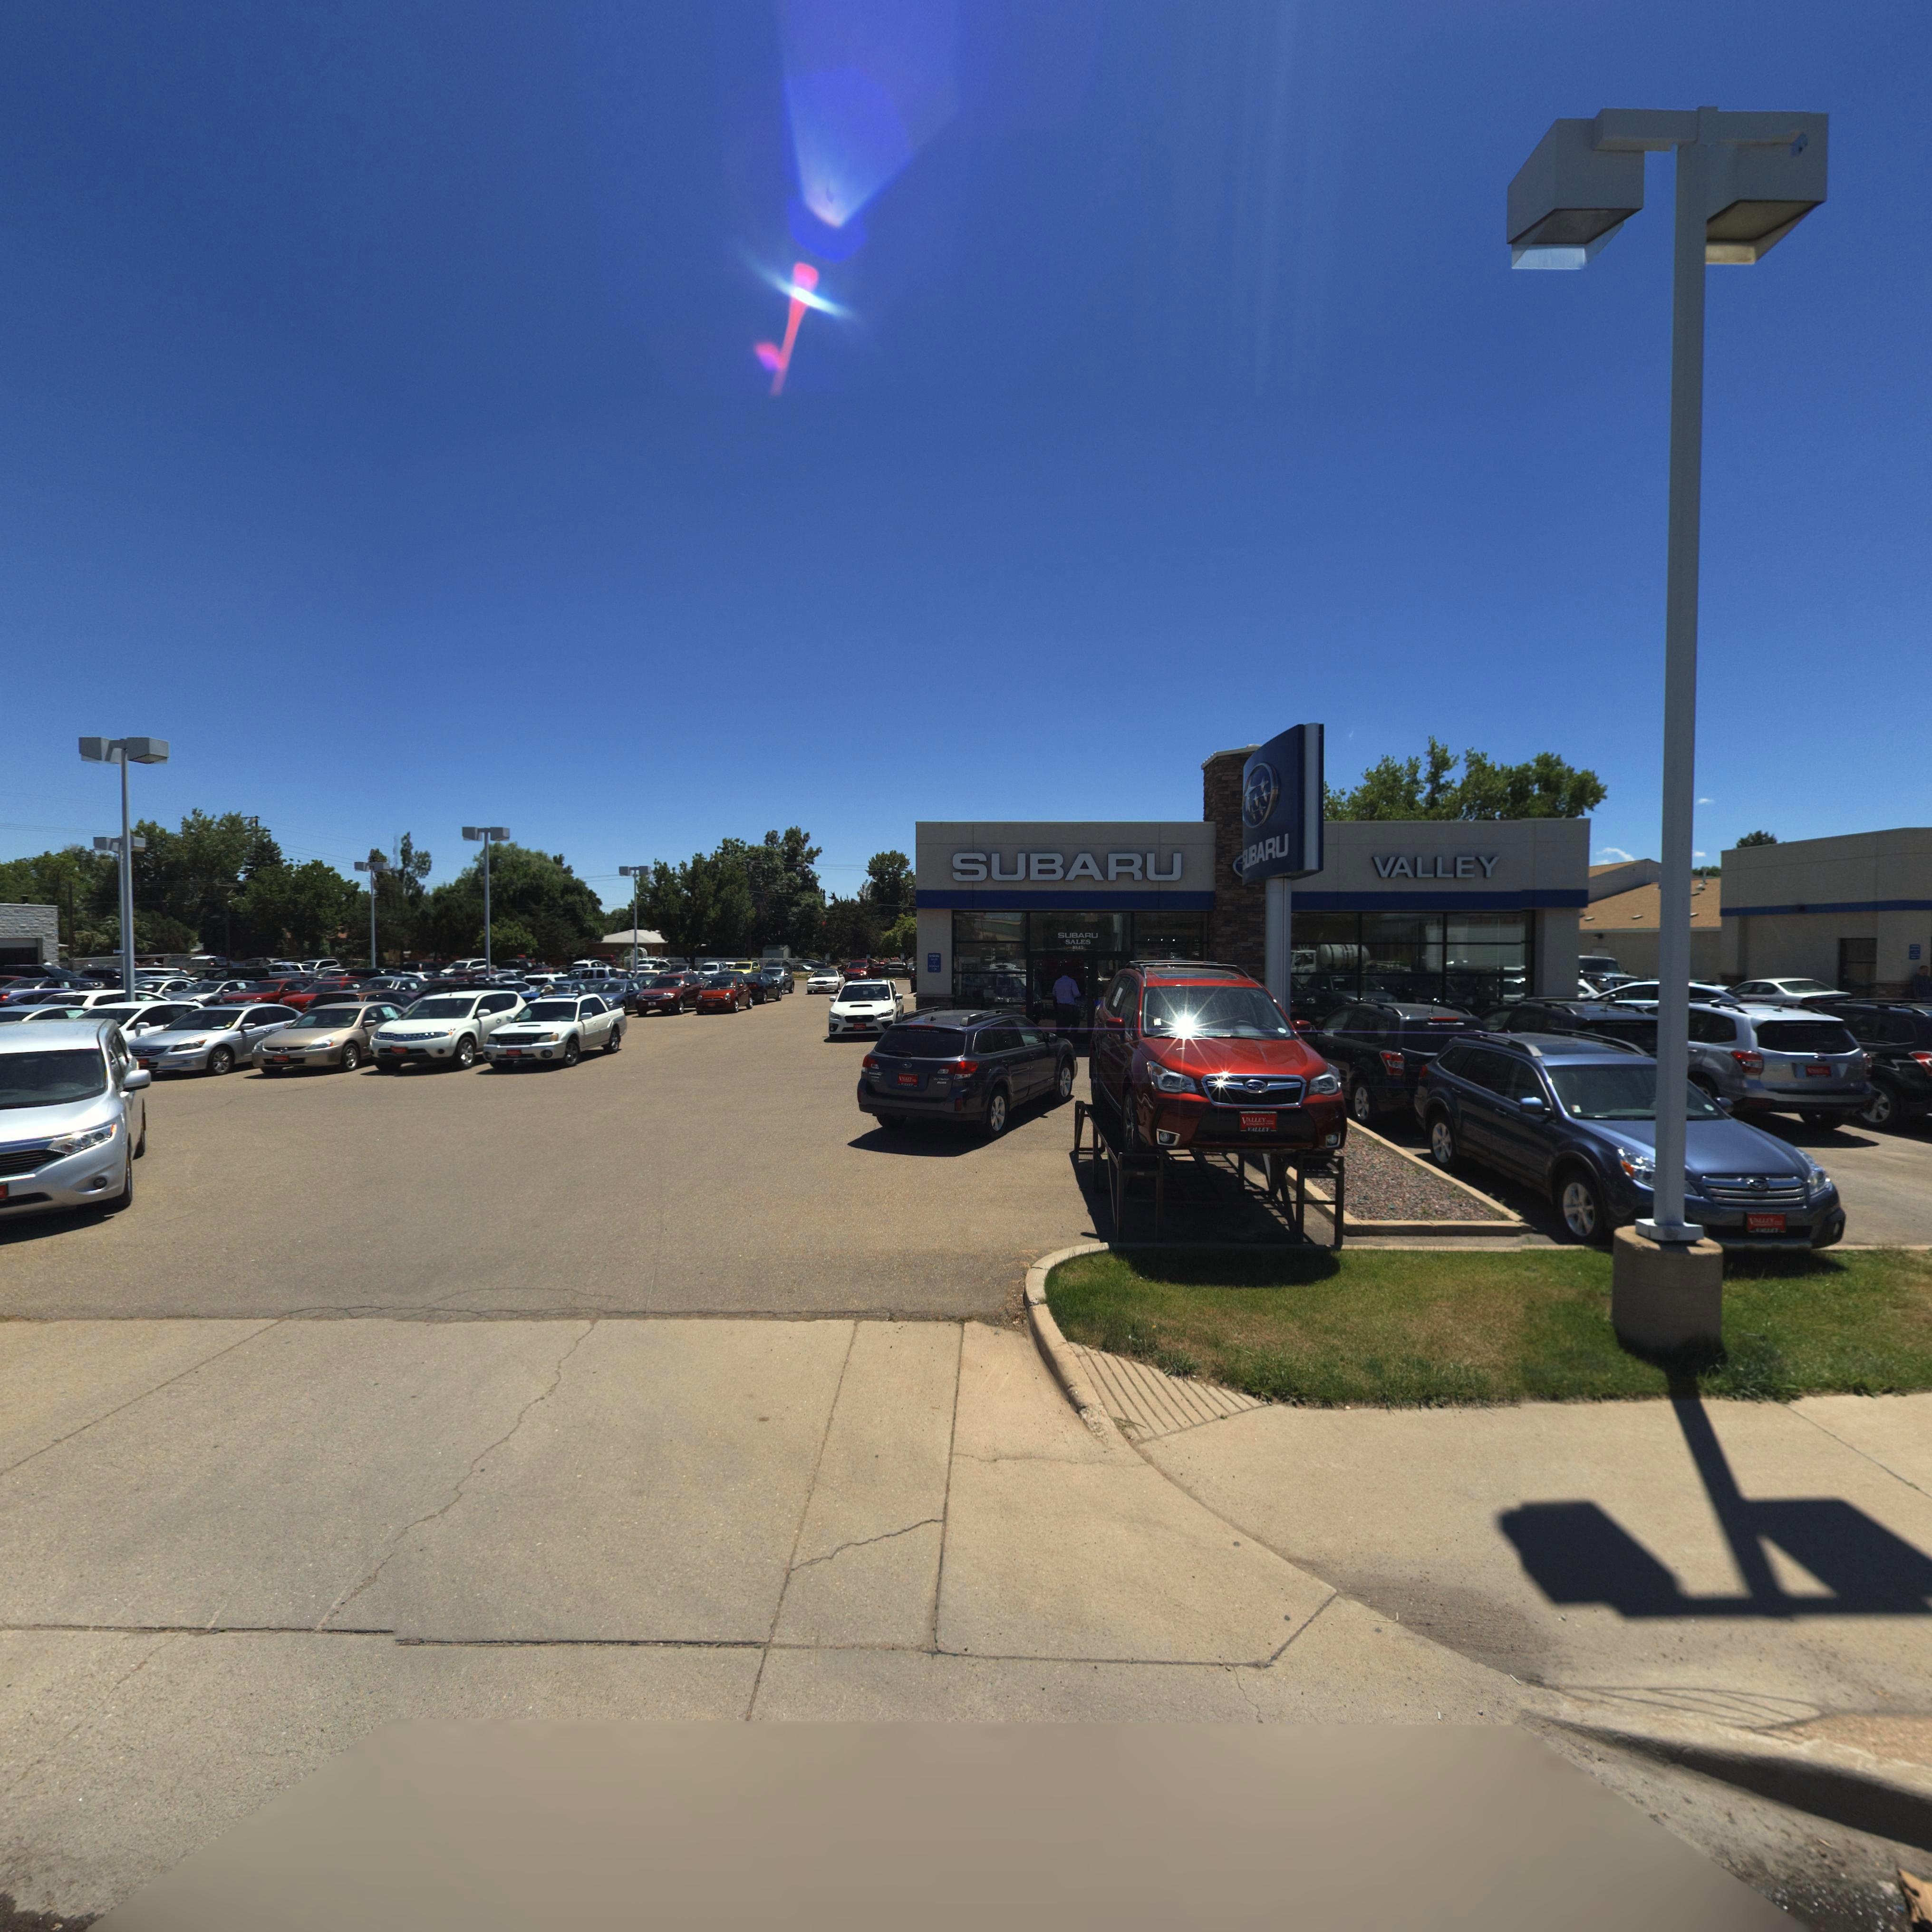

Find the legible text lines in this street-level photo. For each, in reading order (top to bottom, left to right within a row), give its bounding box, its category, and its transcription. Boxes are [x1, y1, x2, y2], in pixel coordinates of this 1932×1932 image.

[1242, 832, 1289, 871] BusinessName: SUBARU
[1370, 856, 1502, 878] BusinessName: VALLEY
[1058, 932, 1098, 938] BusinessName: SUBARU
[1065, 939, 1091, 945] BusinessName: SALES
[1072, 945, 1083, 949] StreetNumber: 10*5